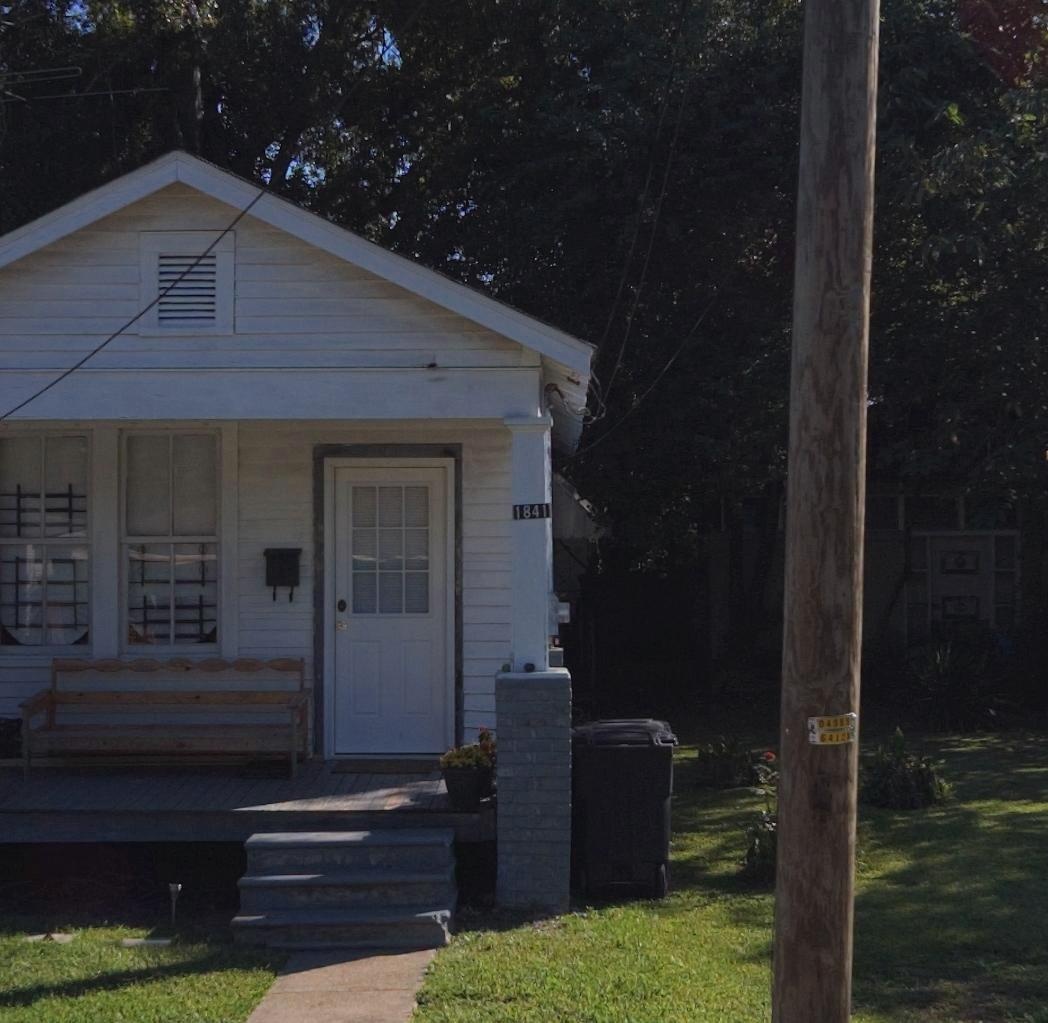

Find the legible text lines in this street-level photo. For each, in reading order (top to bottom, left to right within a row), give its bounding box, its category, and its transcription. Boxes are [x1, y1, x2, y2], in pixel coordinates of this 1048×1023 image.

[514, 502, 549, 521] StreetNumber: 1841
[817, 718, 833, 729] None: 84
[818, 731, 848, 743] None: 64T2